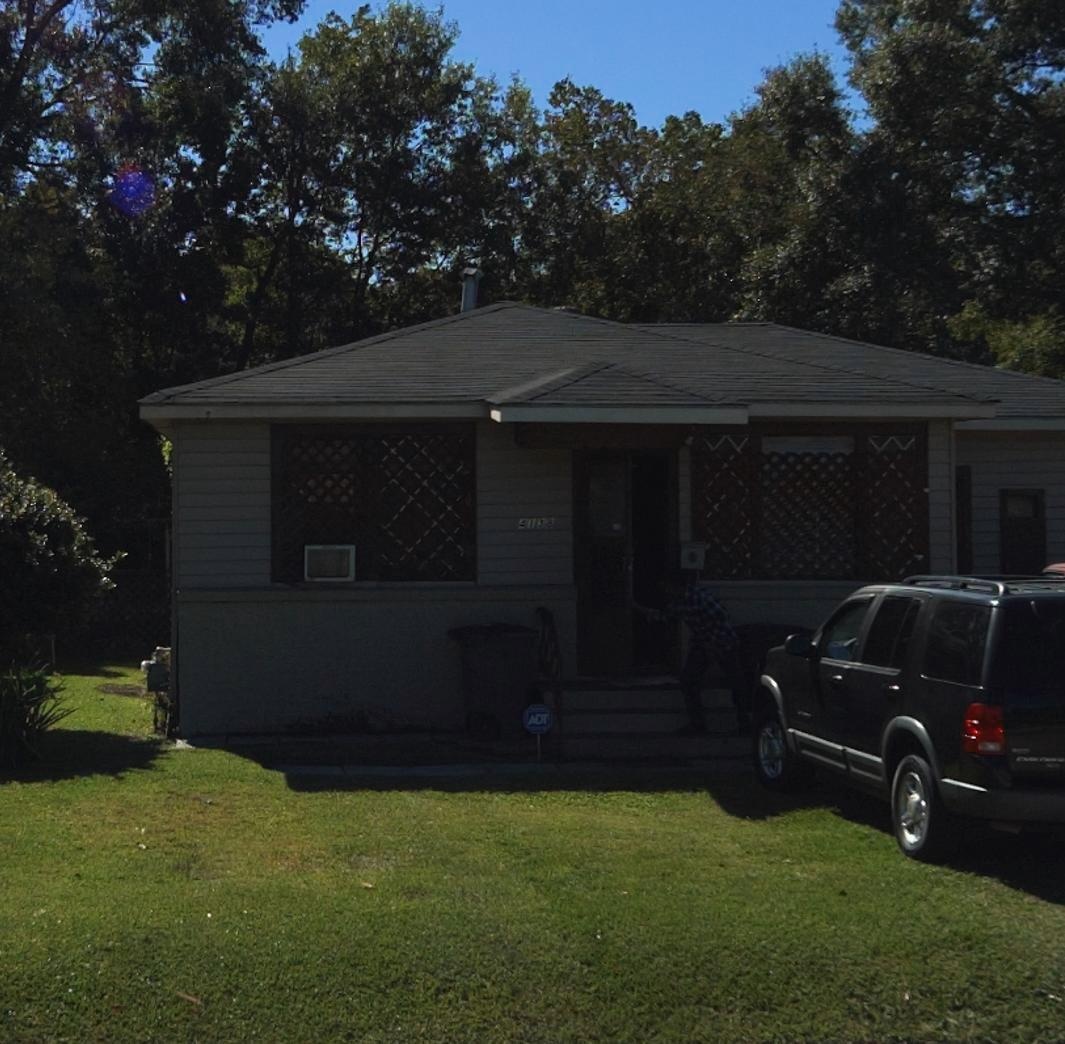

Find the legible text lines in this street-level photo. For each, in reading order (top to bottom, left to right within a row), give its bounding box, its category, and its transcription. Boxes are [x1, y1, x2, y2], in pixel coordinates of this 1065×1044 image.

[517, 518, 554, 529] StreetNumber: 4138
[527, 713, 549, 725] None: ADT